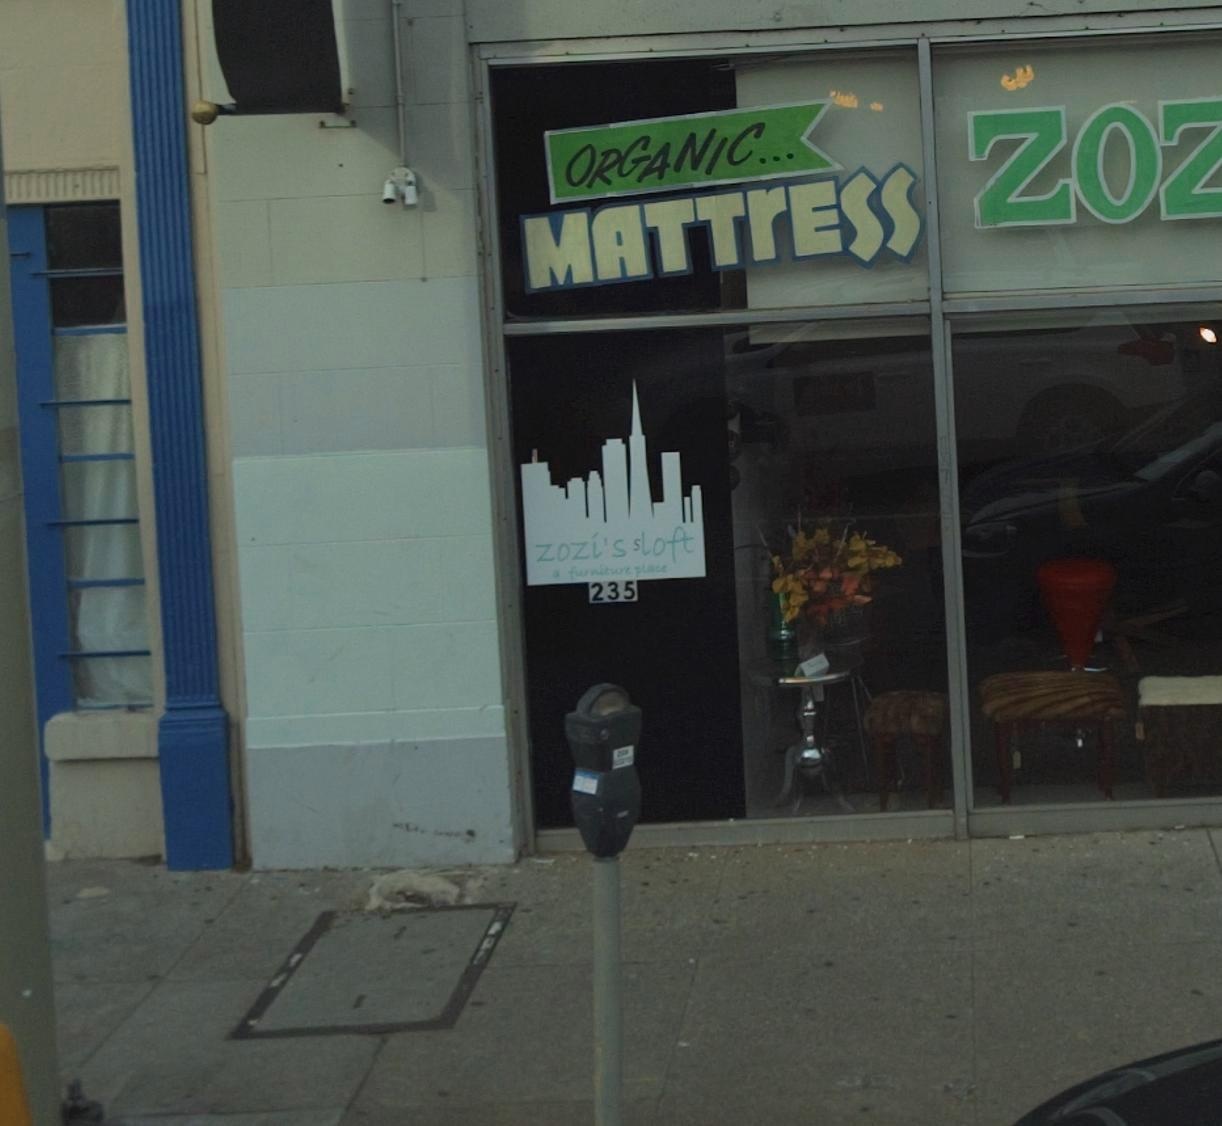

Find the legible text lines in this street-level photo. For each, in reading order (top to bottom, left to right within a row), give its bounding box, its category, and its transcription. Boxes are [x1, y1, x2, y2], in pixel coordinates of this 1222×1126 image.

[559, 114, 803, 195] None: ORGANIC...
[959, 92, 1175, 236] BusinessName: ZO
[513, 154, 929, 300] None: MATTrESS
[550, 560, 671, 583] None: a furniture place
[588, 577, 639, 603] StreetNumber: 235
[531, 522, 697, 564] BusinessName: zozi's sLoft